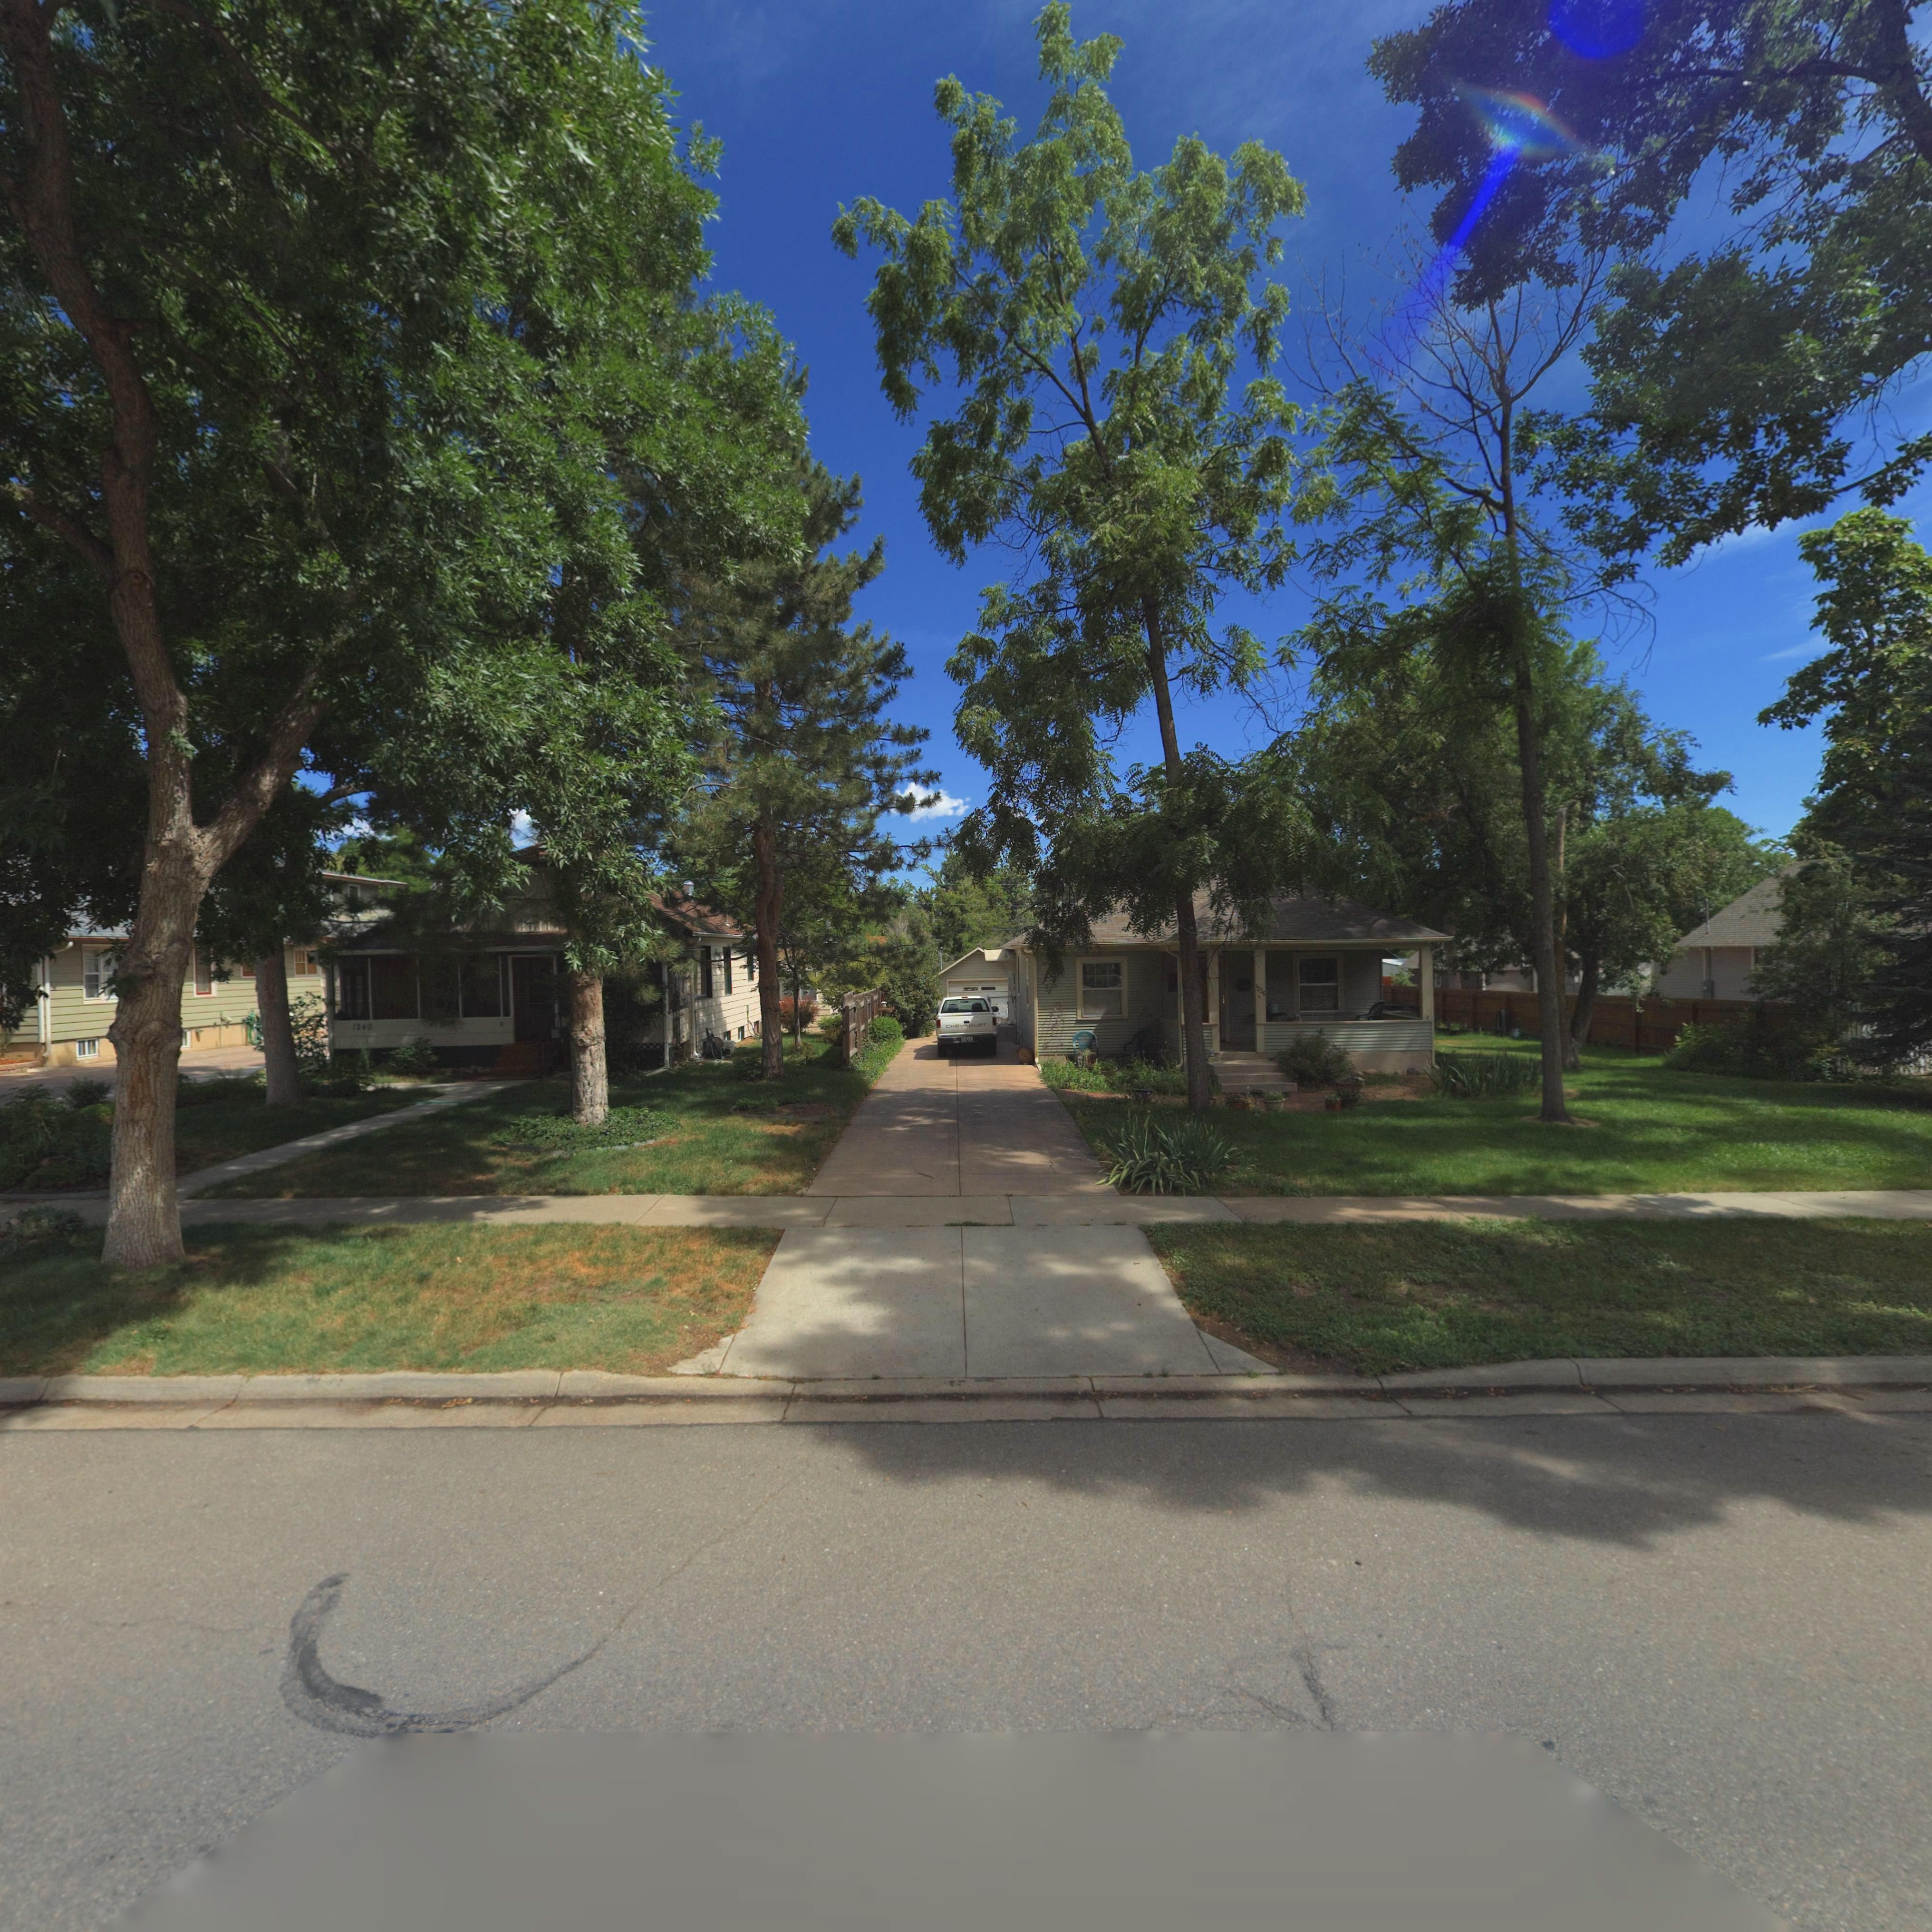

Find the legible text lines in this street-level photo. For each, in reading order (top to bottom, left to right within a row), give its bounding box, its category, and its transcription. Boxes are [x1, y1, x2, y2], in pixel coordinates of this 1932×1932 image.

[1255, 983, 1266, 996] StreetNumber: 1236
[352, 1023, 373, 1030] StreetNumber: 1240